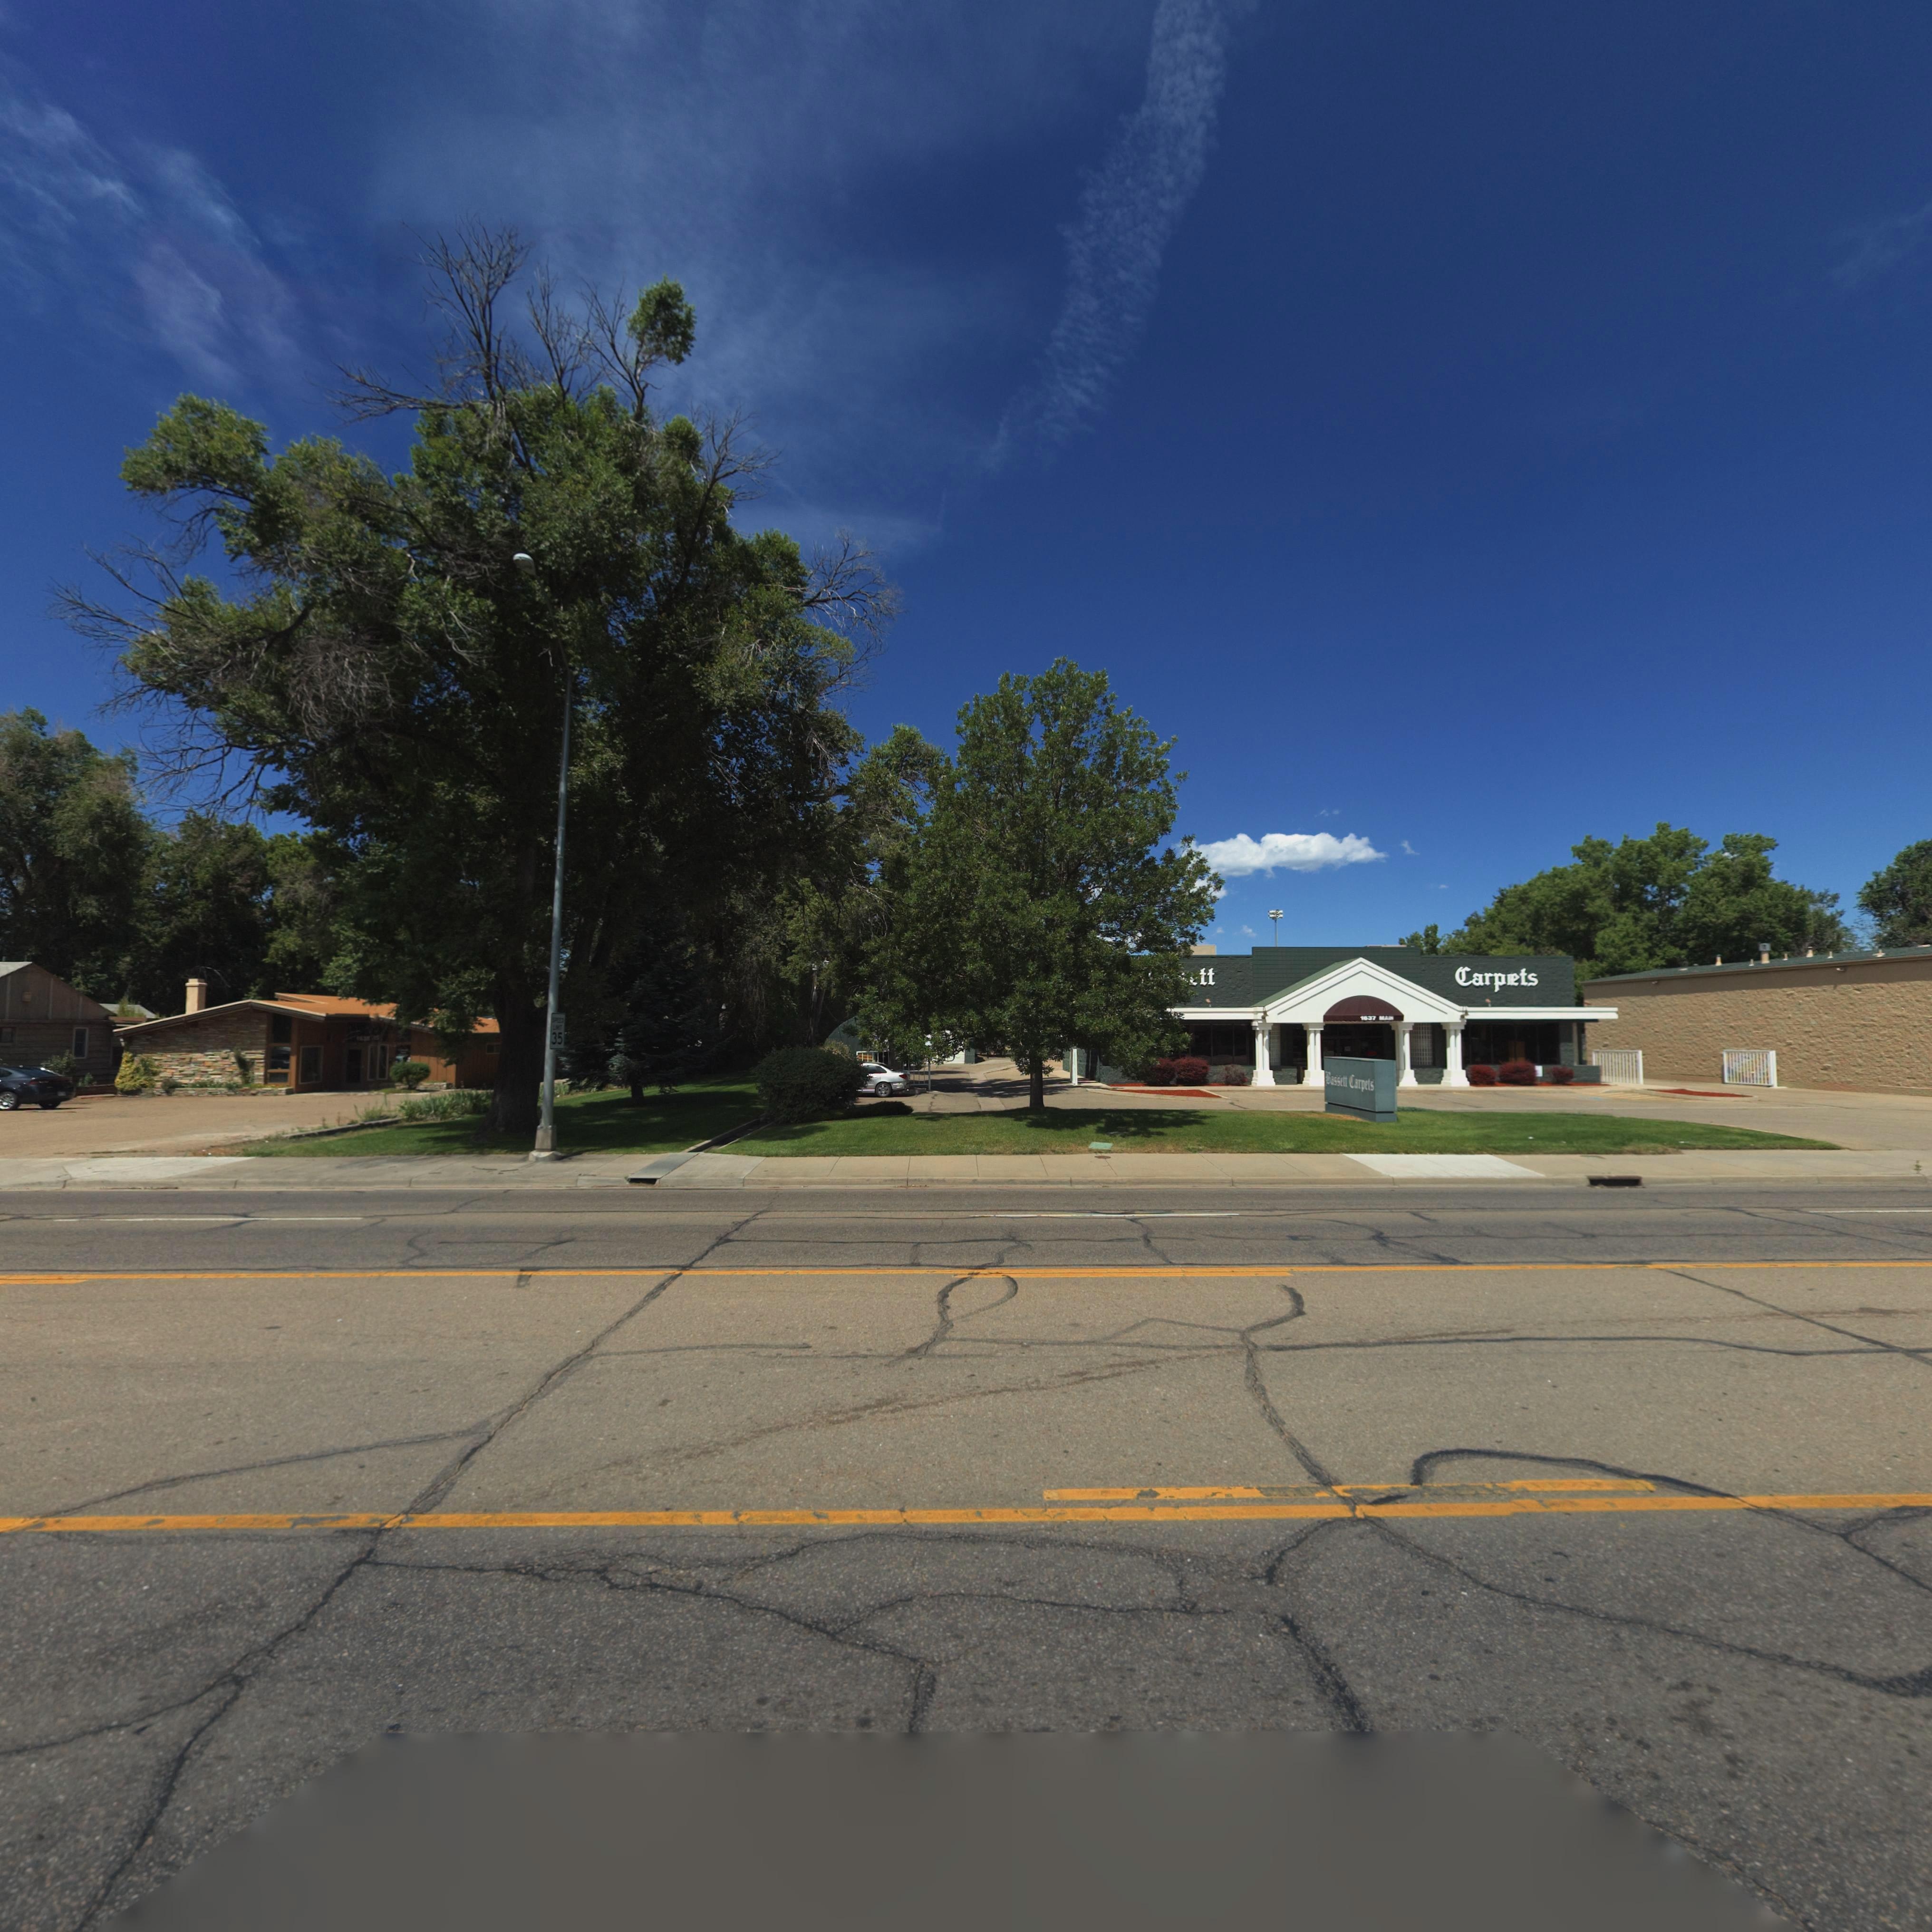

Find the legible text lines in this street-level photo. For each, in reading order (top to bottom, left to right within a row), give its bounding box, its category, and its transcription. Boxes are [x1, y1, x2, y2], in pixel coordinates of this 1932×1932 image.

[1198, 966, 1217, 987] BusinessName: tt
[1453, 965, 1539, 994] BusinessName: Carpets
[1360, 1015, 1377, 1021] StreetNumber: 1637
[1379, 1015, 1394, 1021] StreetName: MA*N
[356, 1035, 370, 1041] StreetNumber: 16**
[1325, 1070, 1375, 1093] BusinessName: Bassett Carpets